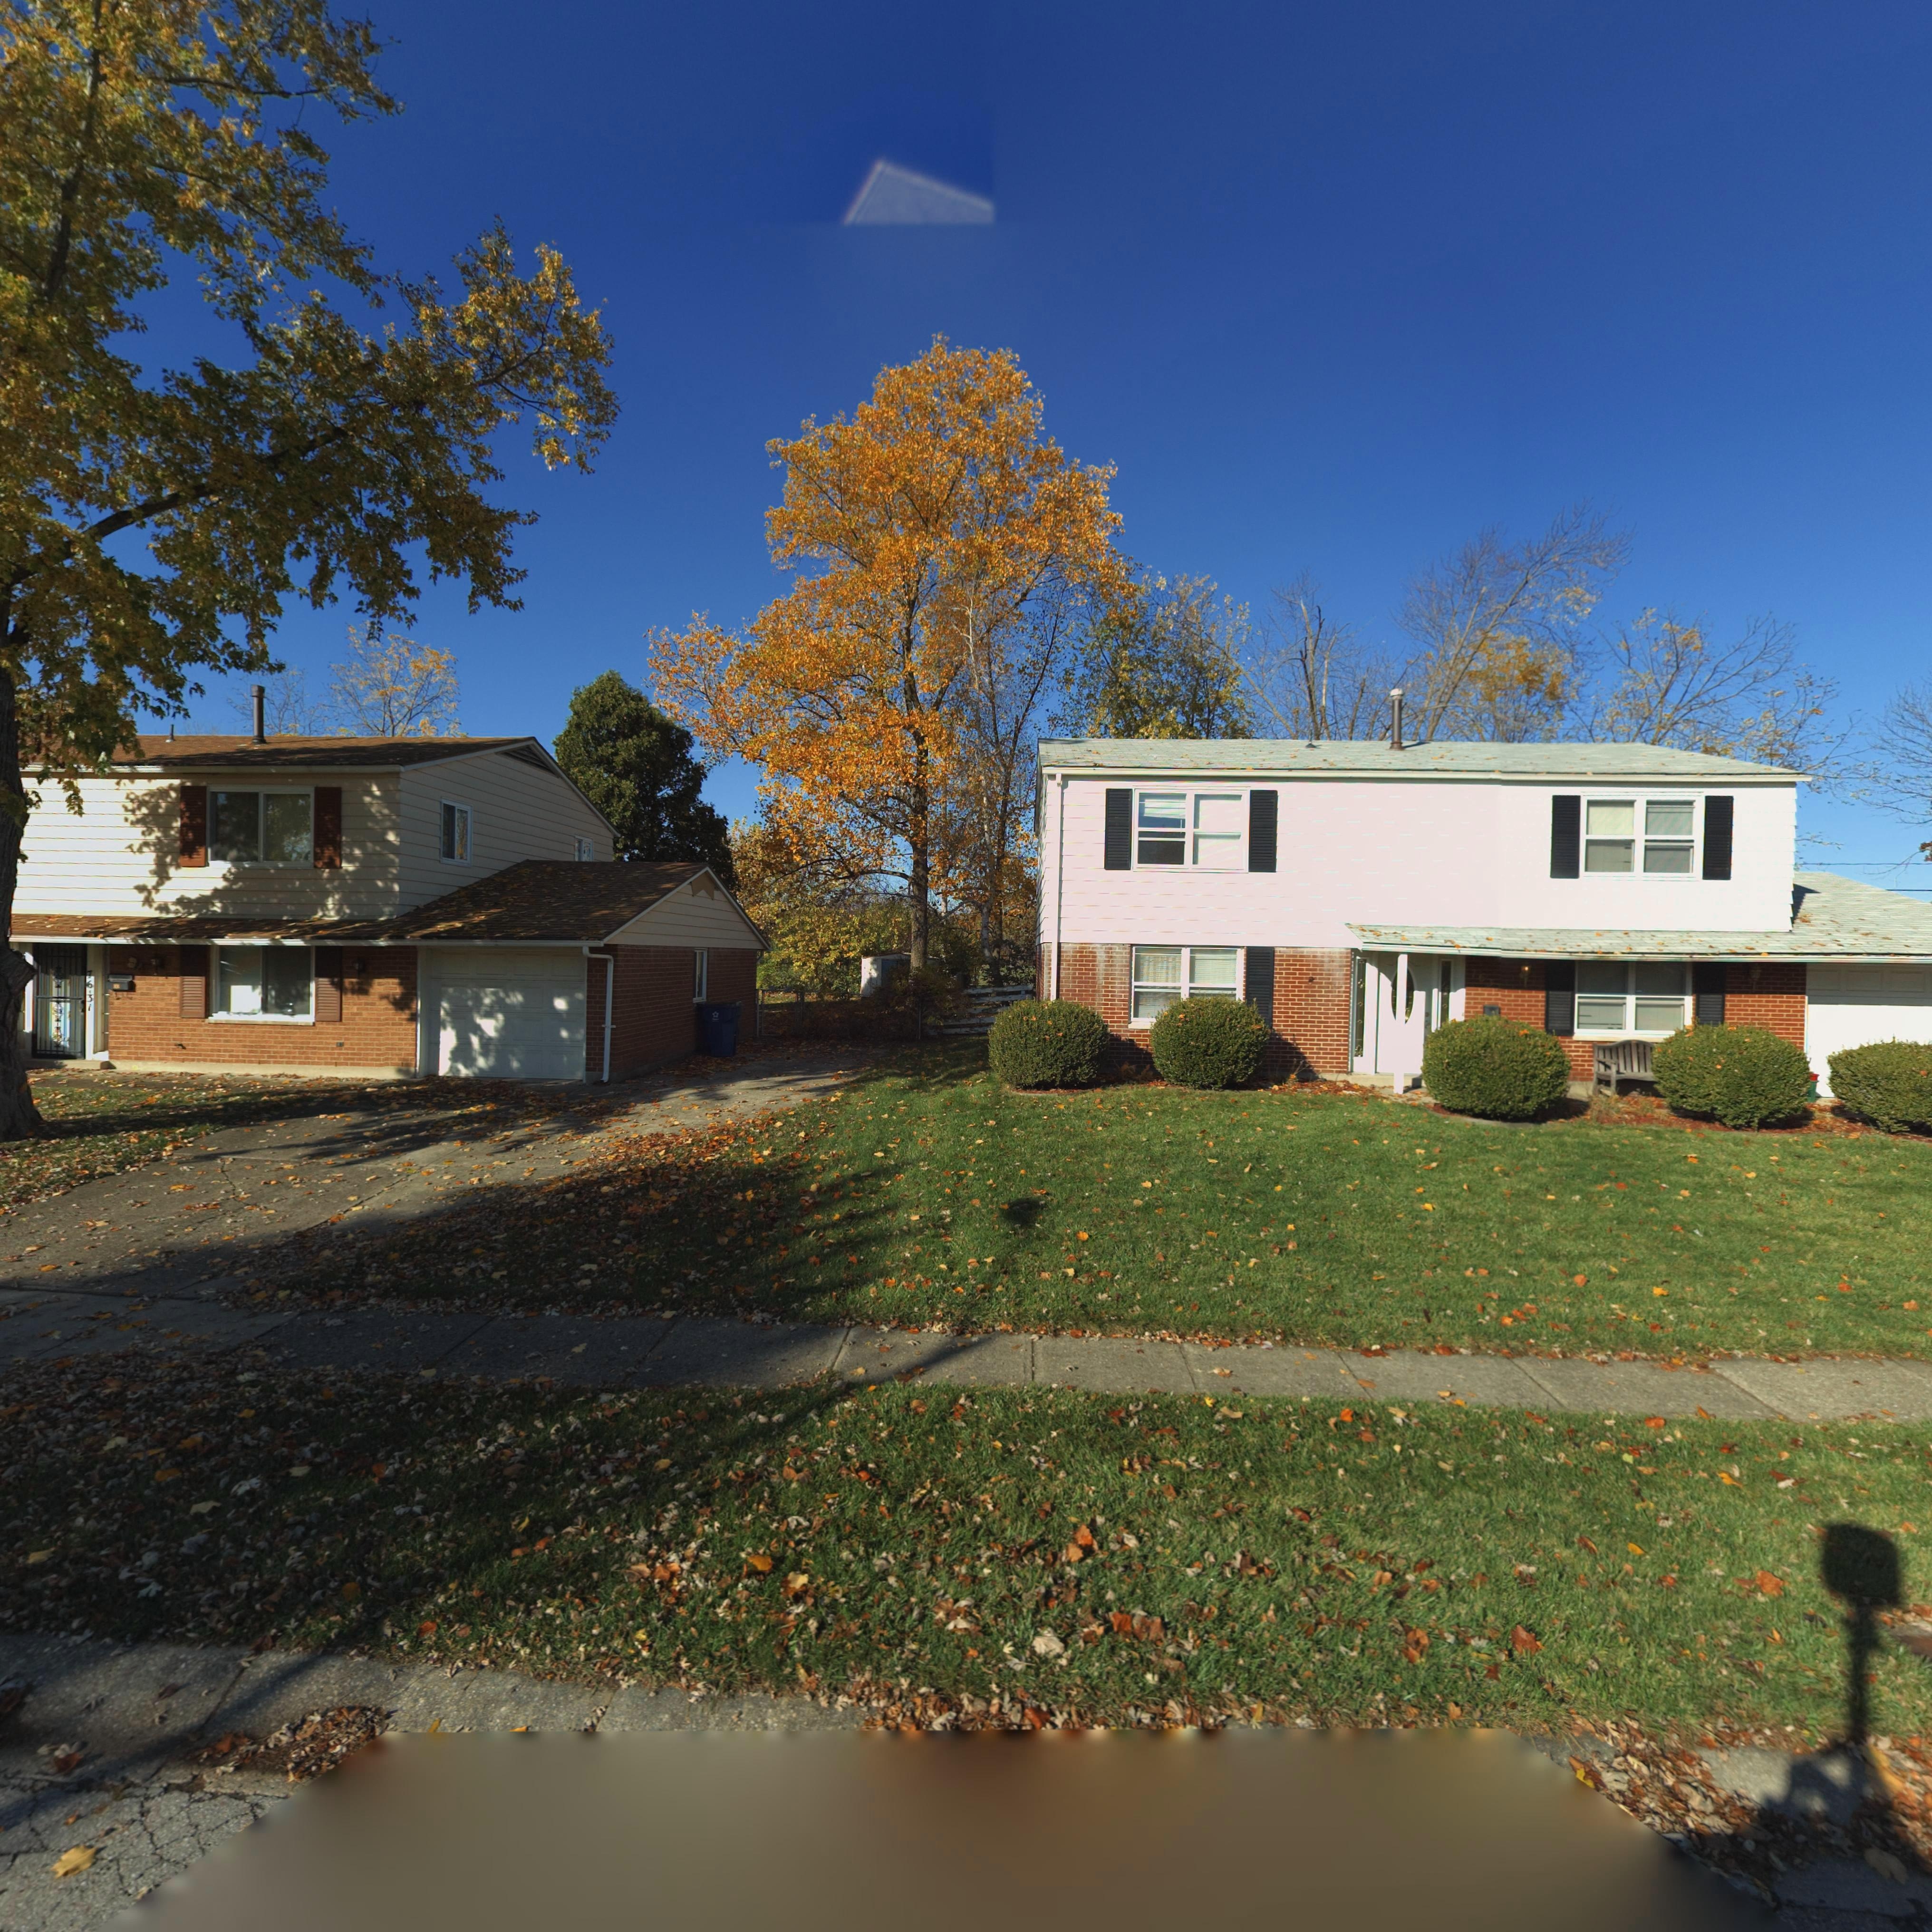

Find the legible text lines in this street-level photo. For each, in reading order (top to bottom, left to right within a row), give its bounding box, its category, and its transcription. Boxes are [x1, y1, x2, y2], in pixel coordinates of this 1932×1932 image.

[84, 969, 95, 1013] StreetNumber: 7631